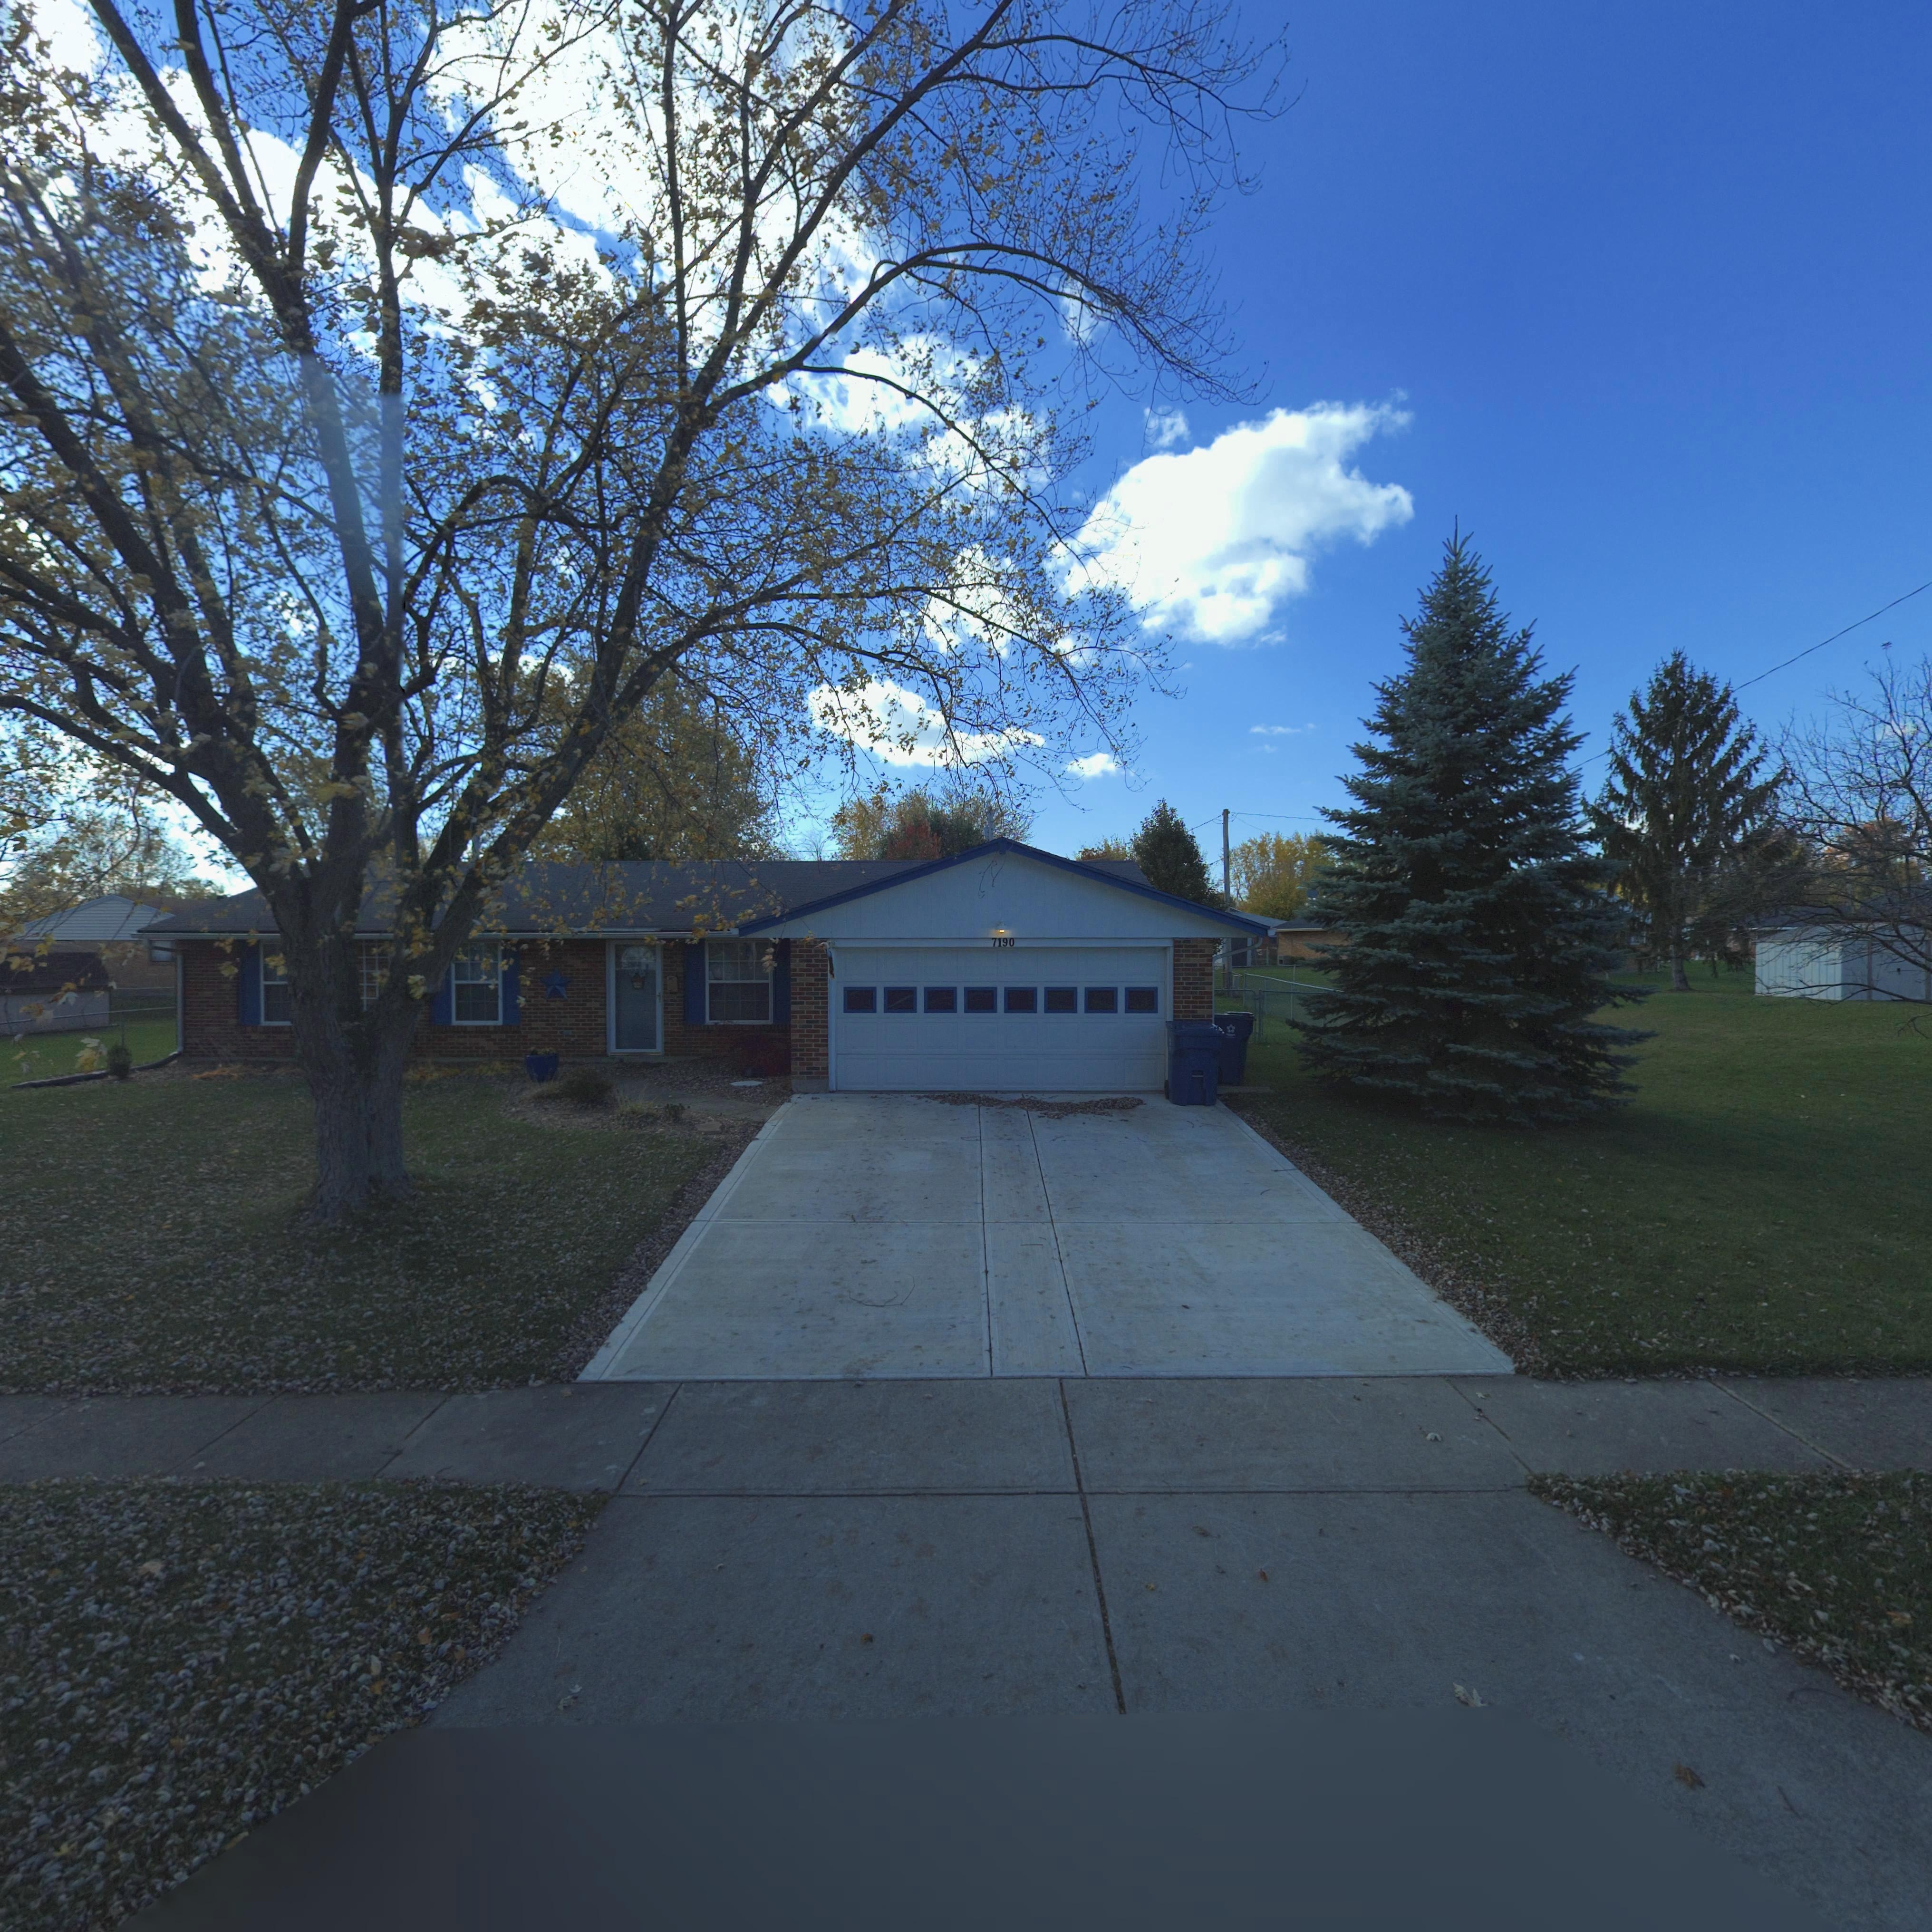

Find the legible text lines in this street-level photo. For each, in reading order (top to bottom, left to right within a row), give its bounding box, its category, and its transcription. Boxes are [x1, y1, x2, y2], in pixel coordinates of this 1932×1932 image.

[991, 937, 1015, 948] StreetNumber: 7190